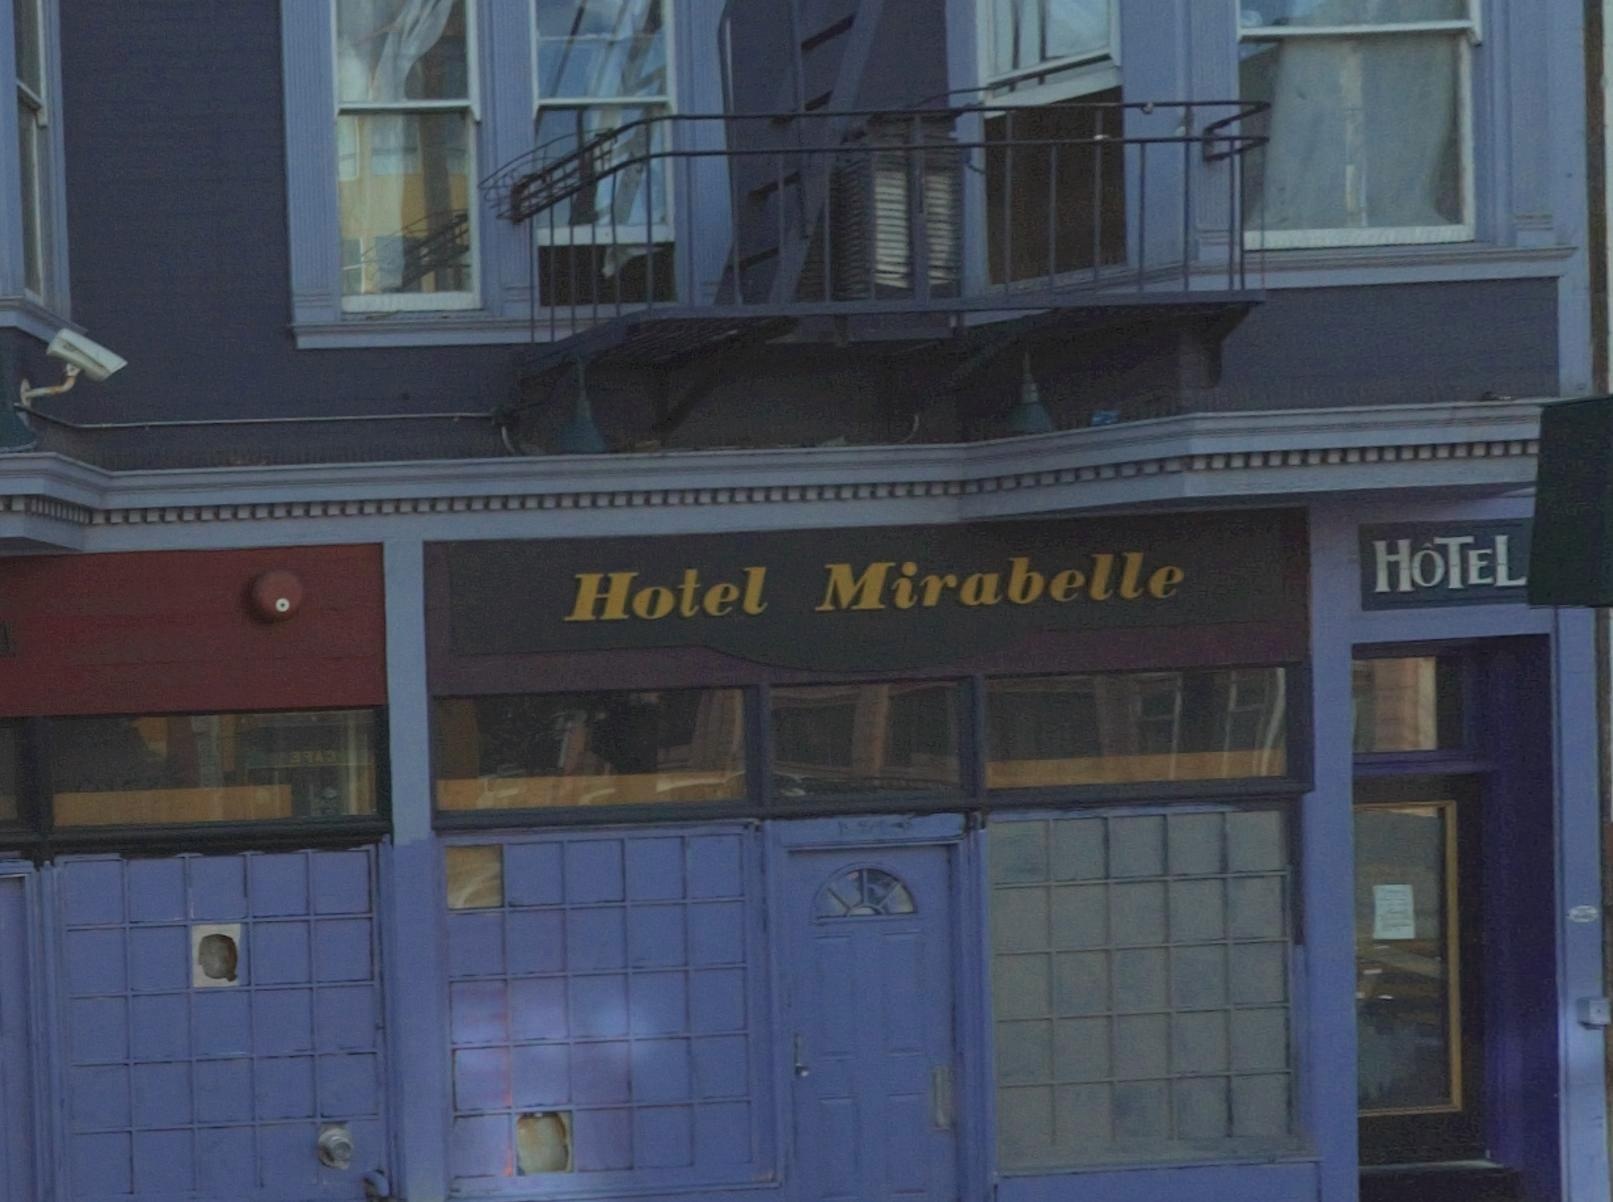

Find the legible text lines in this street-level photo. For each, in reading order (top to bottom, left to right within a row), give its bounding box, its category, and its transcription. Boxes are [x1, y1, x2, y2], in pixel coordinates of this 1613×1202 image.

[555, 542, 1191, 629] BusinessName: Hotel Mirabelle
[1364, 529, 1536, 599] BusinessName: HOTEL